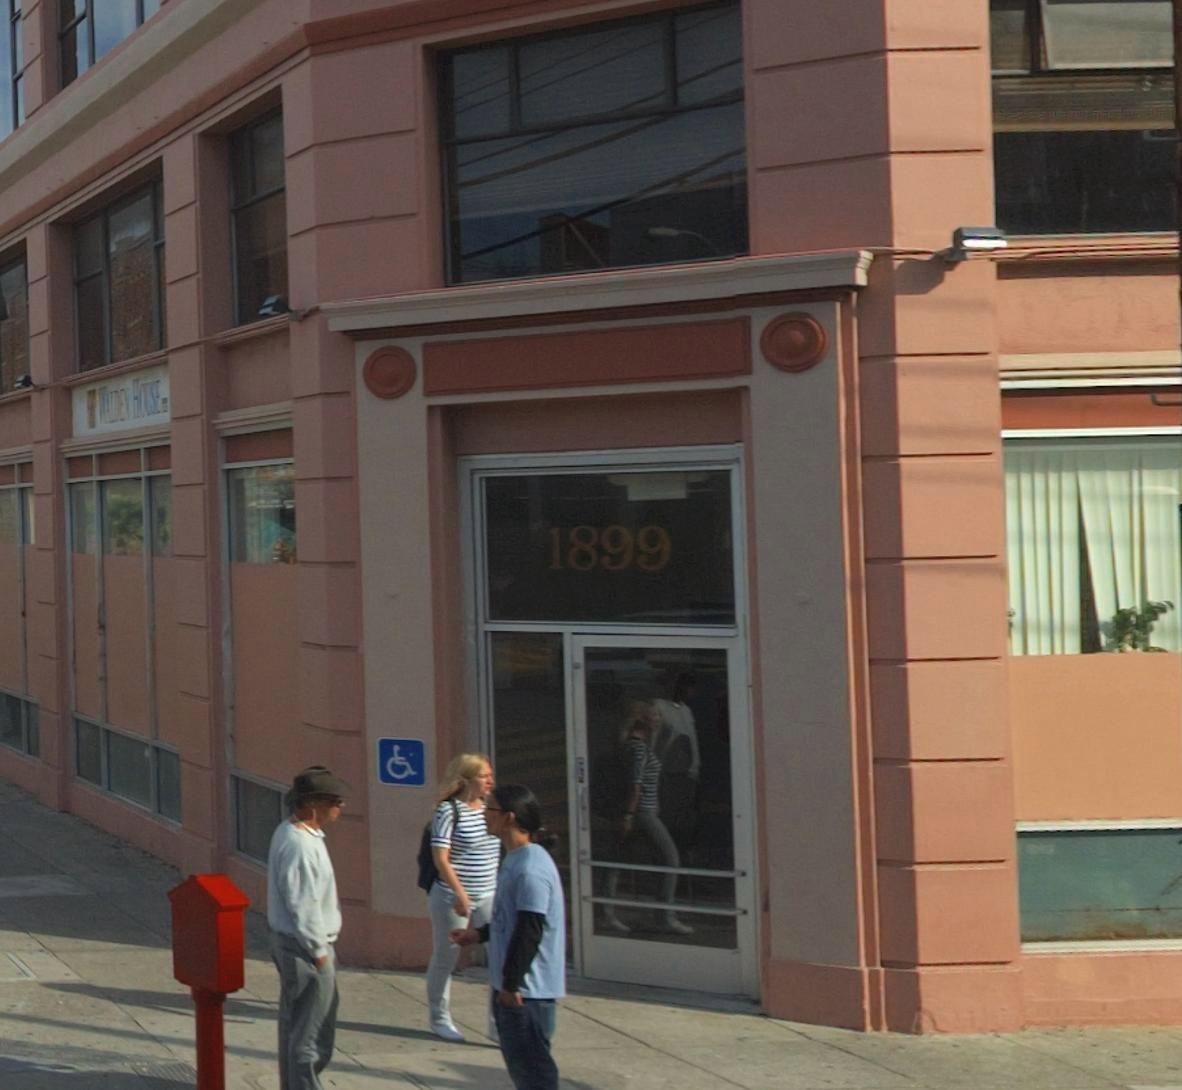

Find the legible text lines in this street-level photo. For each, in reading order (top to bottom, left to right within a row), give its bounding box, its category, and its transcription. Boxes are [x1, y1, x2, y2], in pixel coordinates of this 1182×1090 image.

[130, 374, 143, 422] BusinessName: H
[546, 523, 675, 573] StreetNumber: 1899